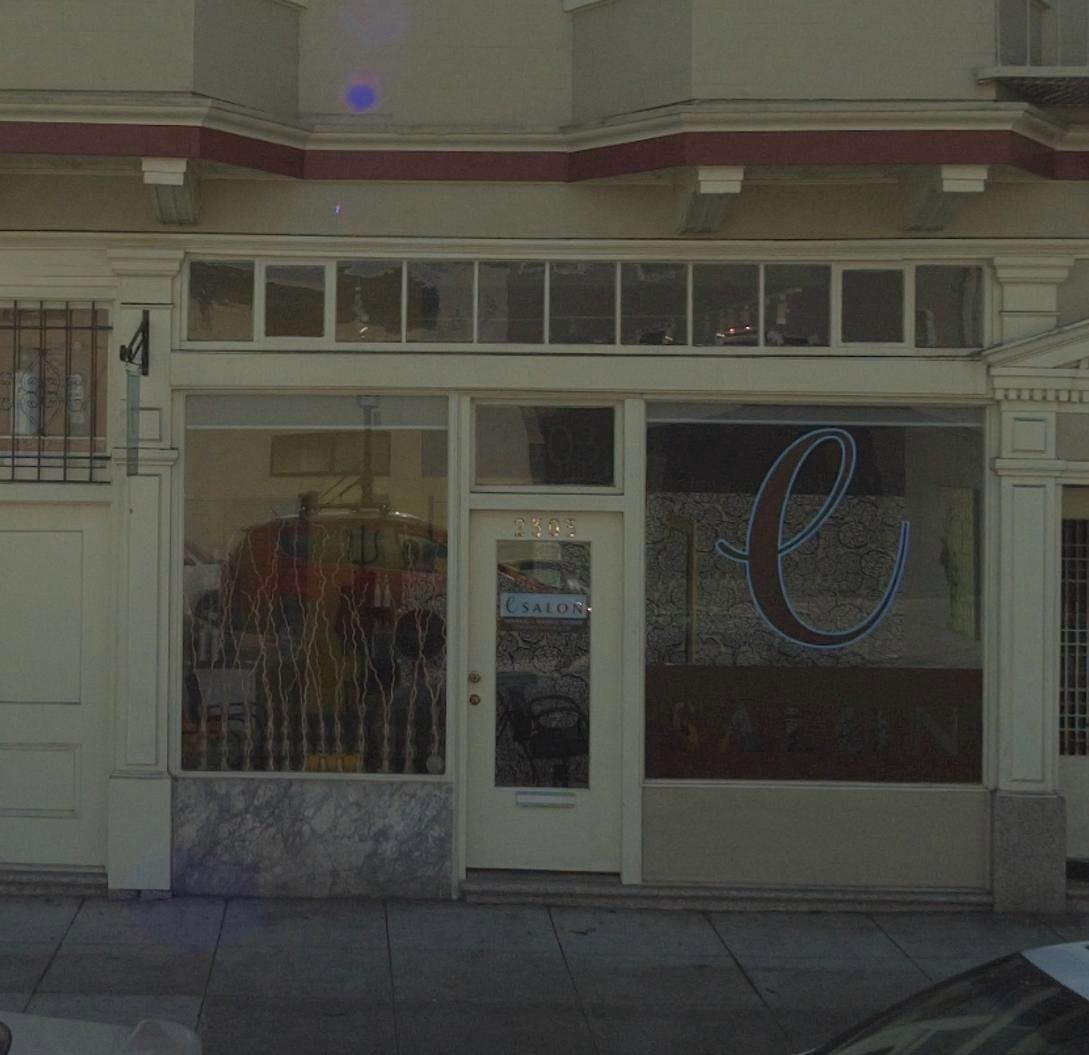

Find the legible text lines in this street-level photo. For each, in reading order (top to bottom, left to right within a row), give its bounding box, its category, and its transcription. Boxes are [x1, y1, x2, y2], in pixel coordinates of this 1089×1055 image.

[544, 421, 604, 470] StreetNumber: 03
[511, 515, 578, 541] StreetNumber: 2303
[741, 422, 914, 653] BusinessName: e
[502, 593, 585, 617] BusinessName: e SALON
[665, 696, 966, 765] BusinessName: SALON